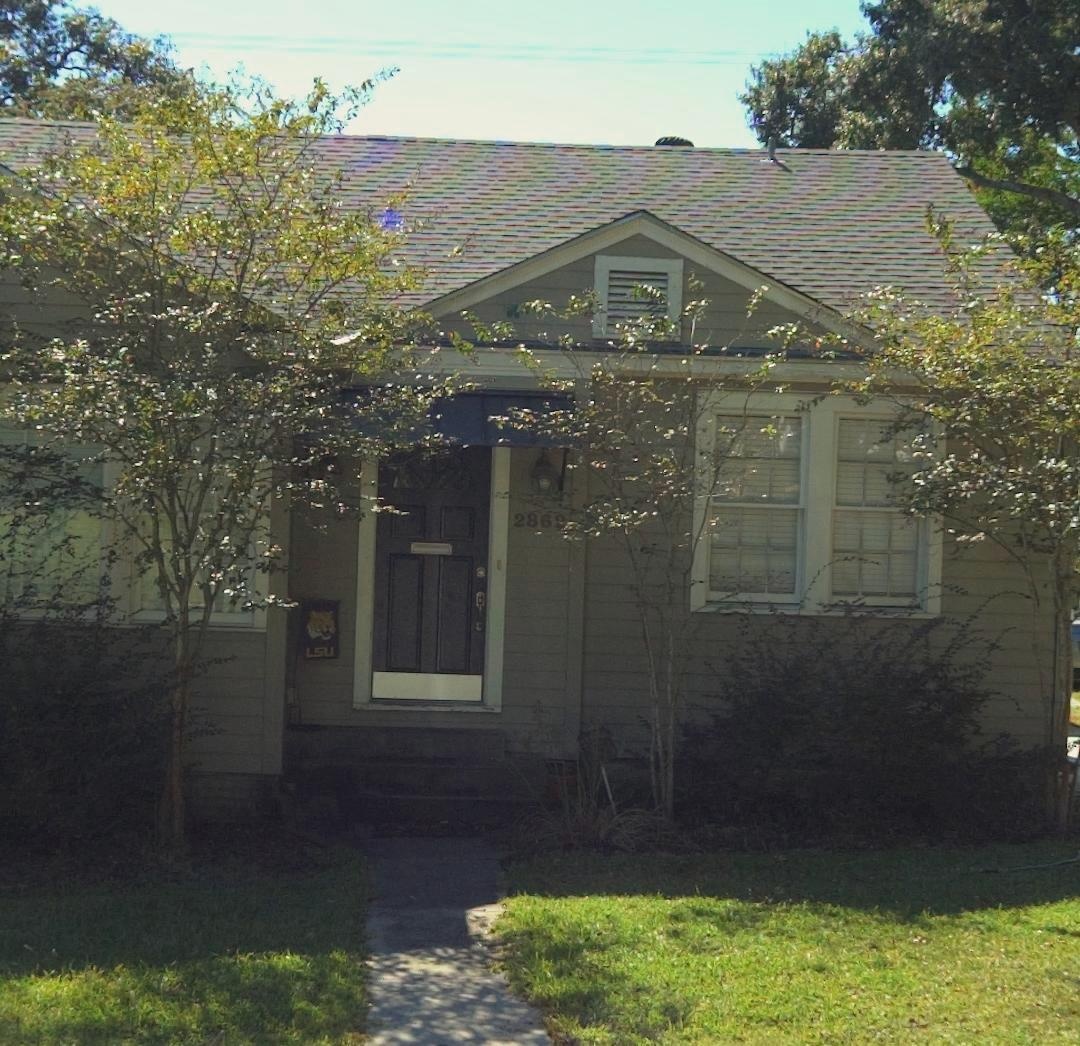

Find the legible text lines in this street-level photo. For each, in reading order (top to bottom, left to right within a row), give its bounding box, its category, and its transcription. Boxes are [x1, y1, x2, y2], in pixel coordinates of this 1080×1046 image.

[511, 511, 567, 530] StreetNumber: 2862
[304, 644, 336, 660] None: LSU